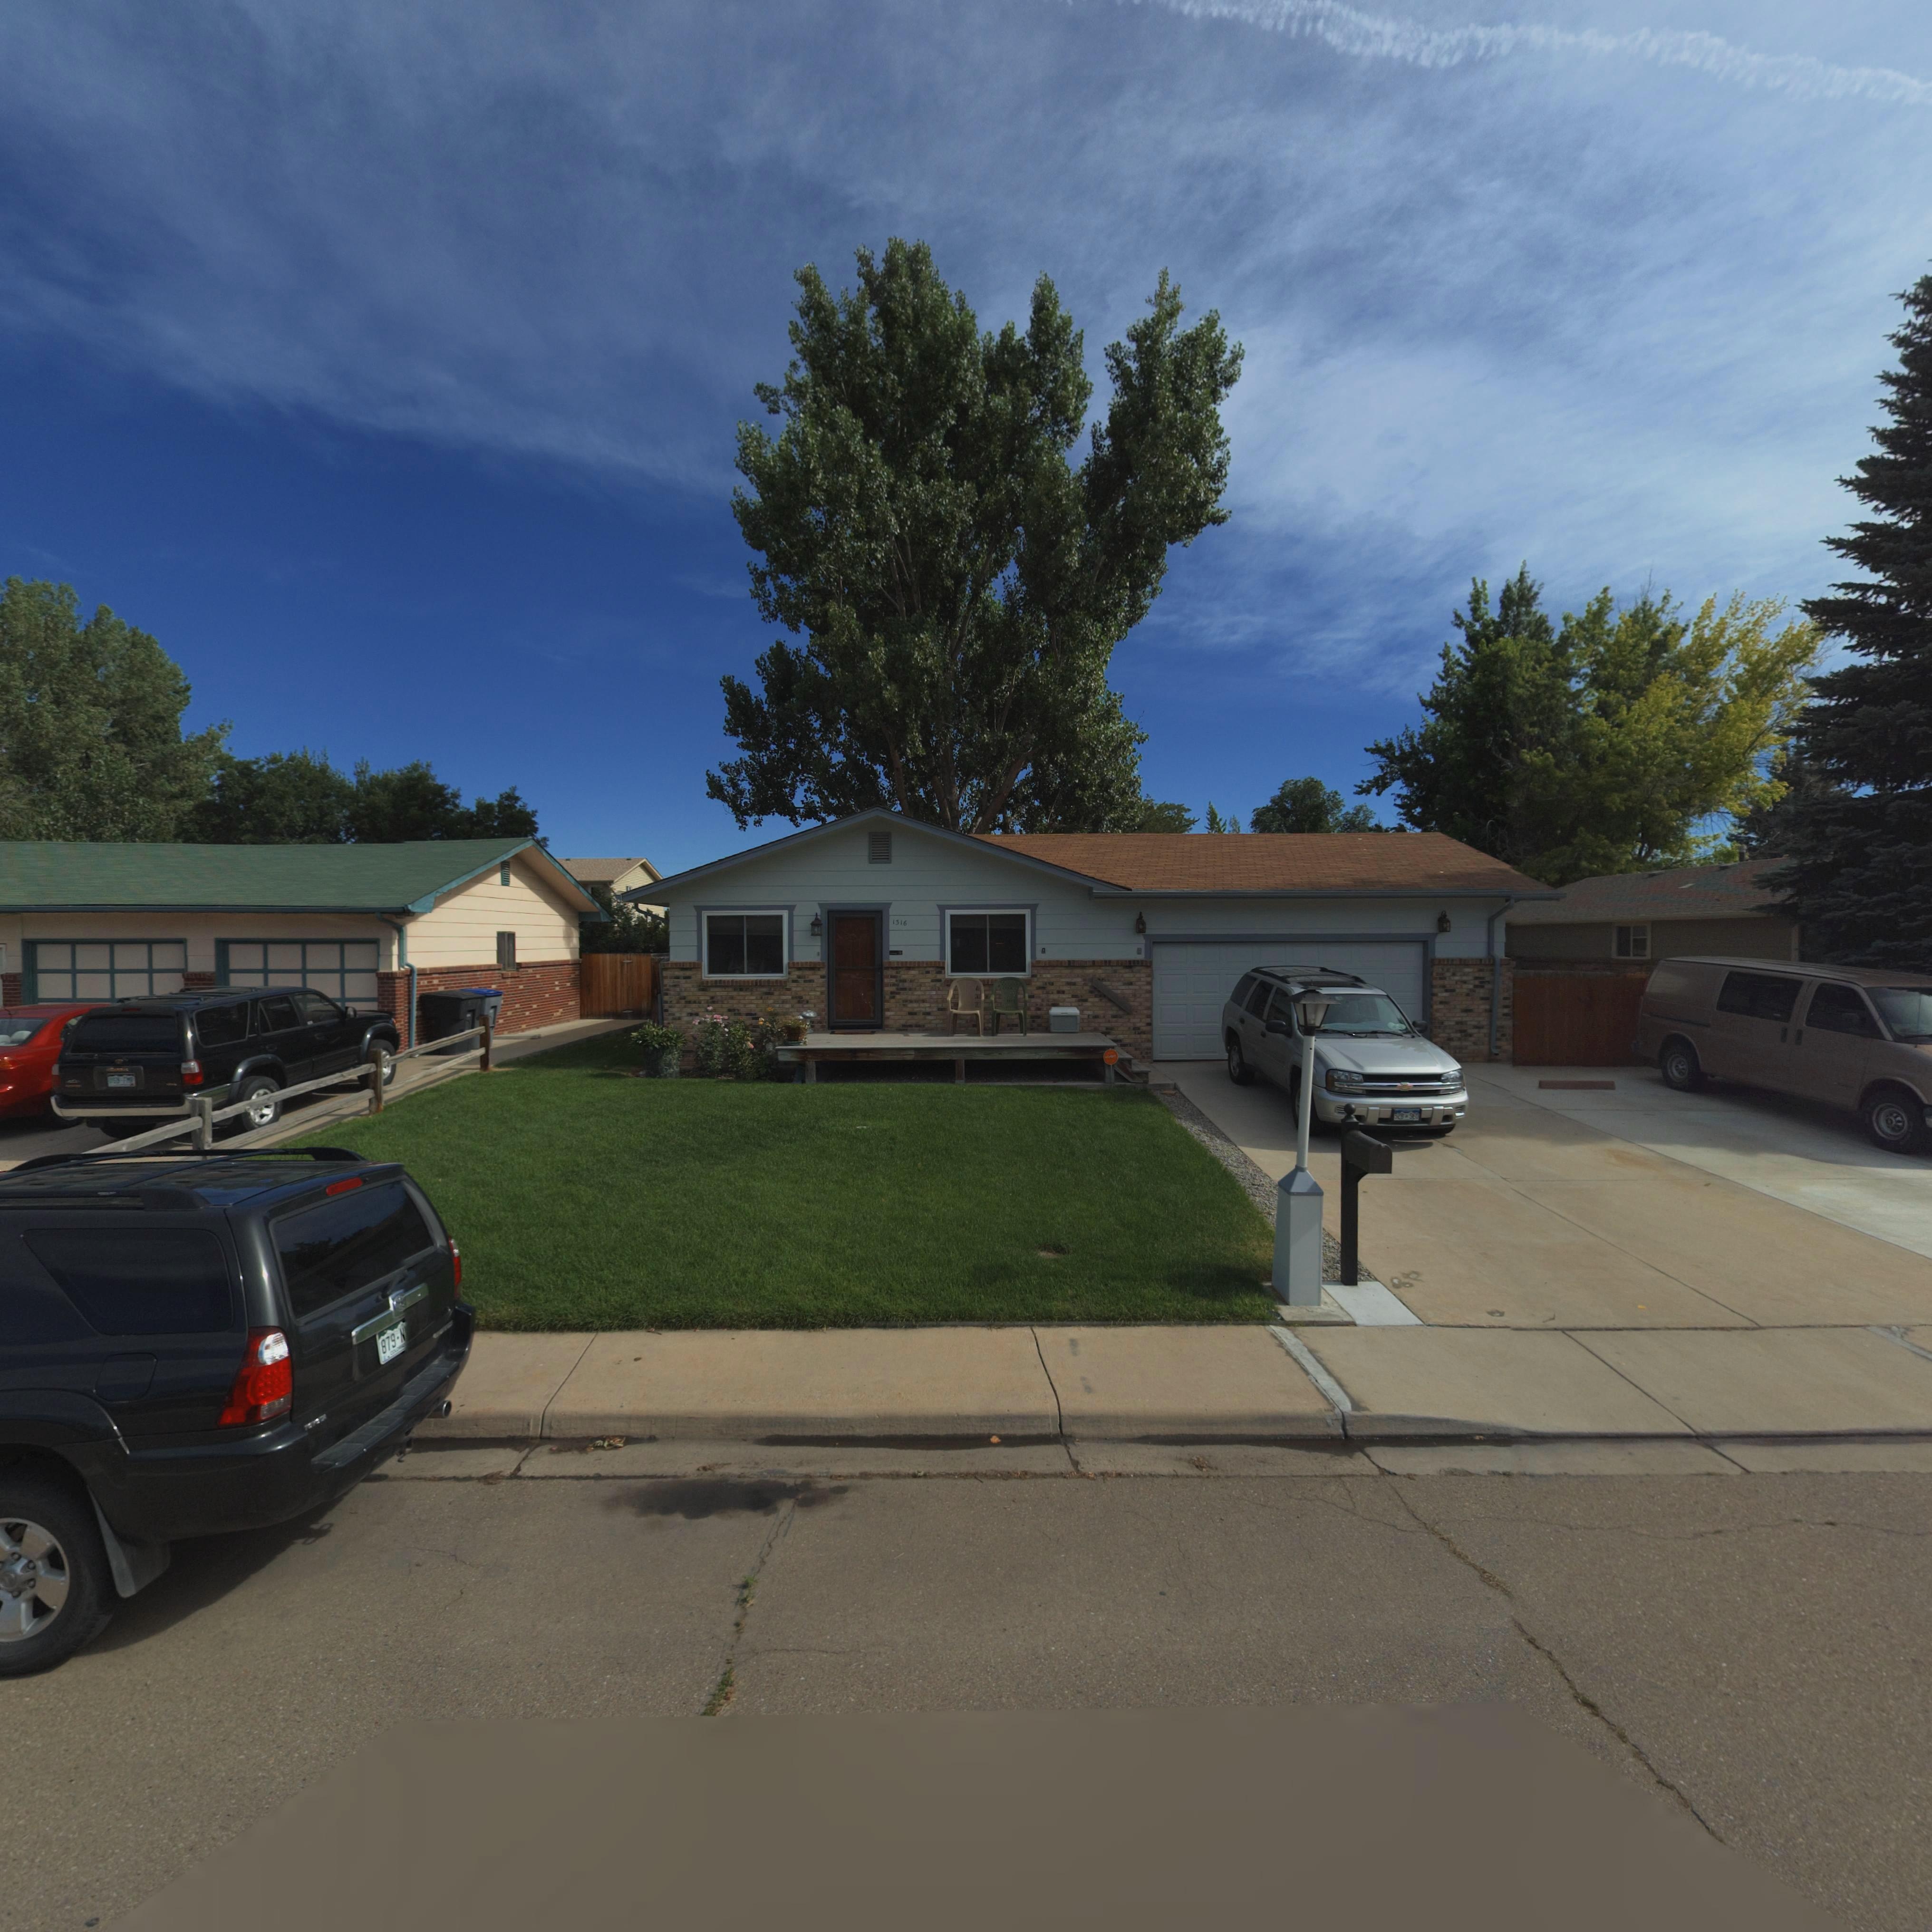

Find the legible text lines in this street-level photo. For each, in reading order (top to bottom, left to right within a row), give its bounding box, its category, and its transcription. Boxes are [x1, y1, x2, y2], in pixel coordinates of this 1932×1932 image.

[892, 918, 907, 926] StreetNumber: 1316